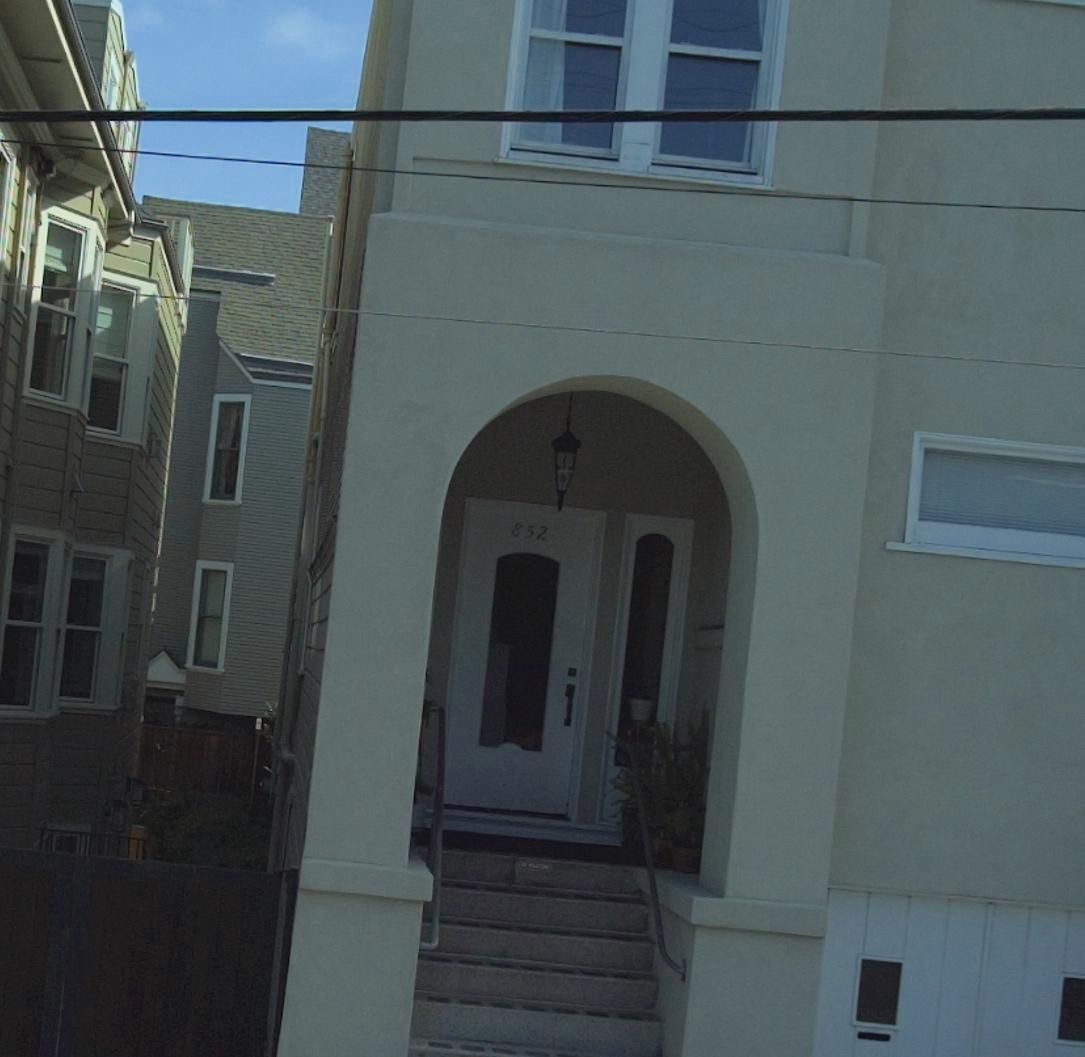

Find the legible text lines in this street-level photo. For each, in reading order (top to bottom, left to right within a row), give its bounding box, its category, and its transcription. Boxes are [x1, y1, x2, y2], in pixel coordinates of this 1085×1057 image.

[507, 519, 551, 544] StreetNumber: 852